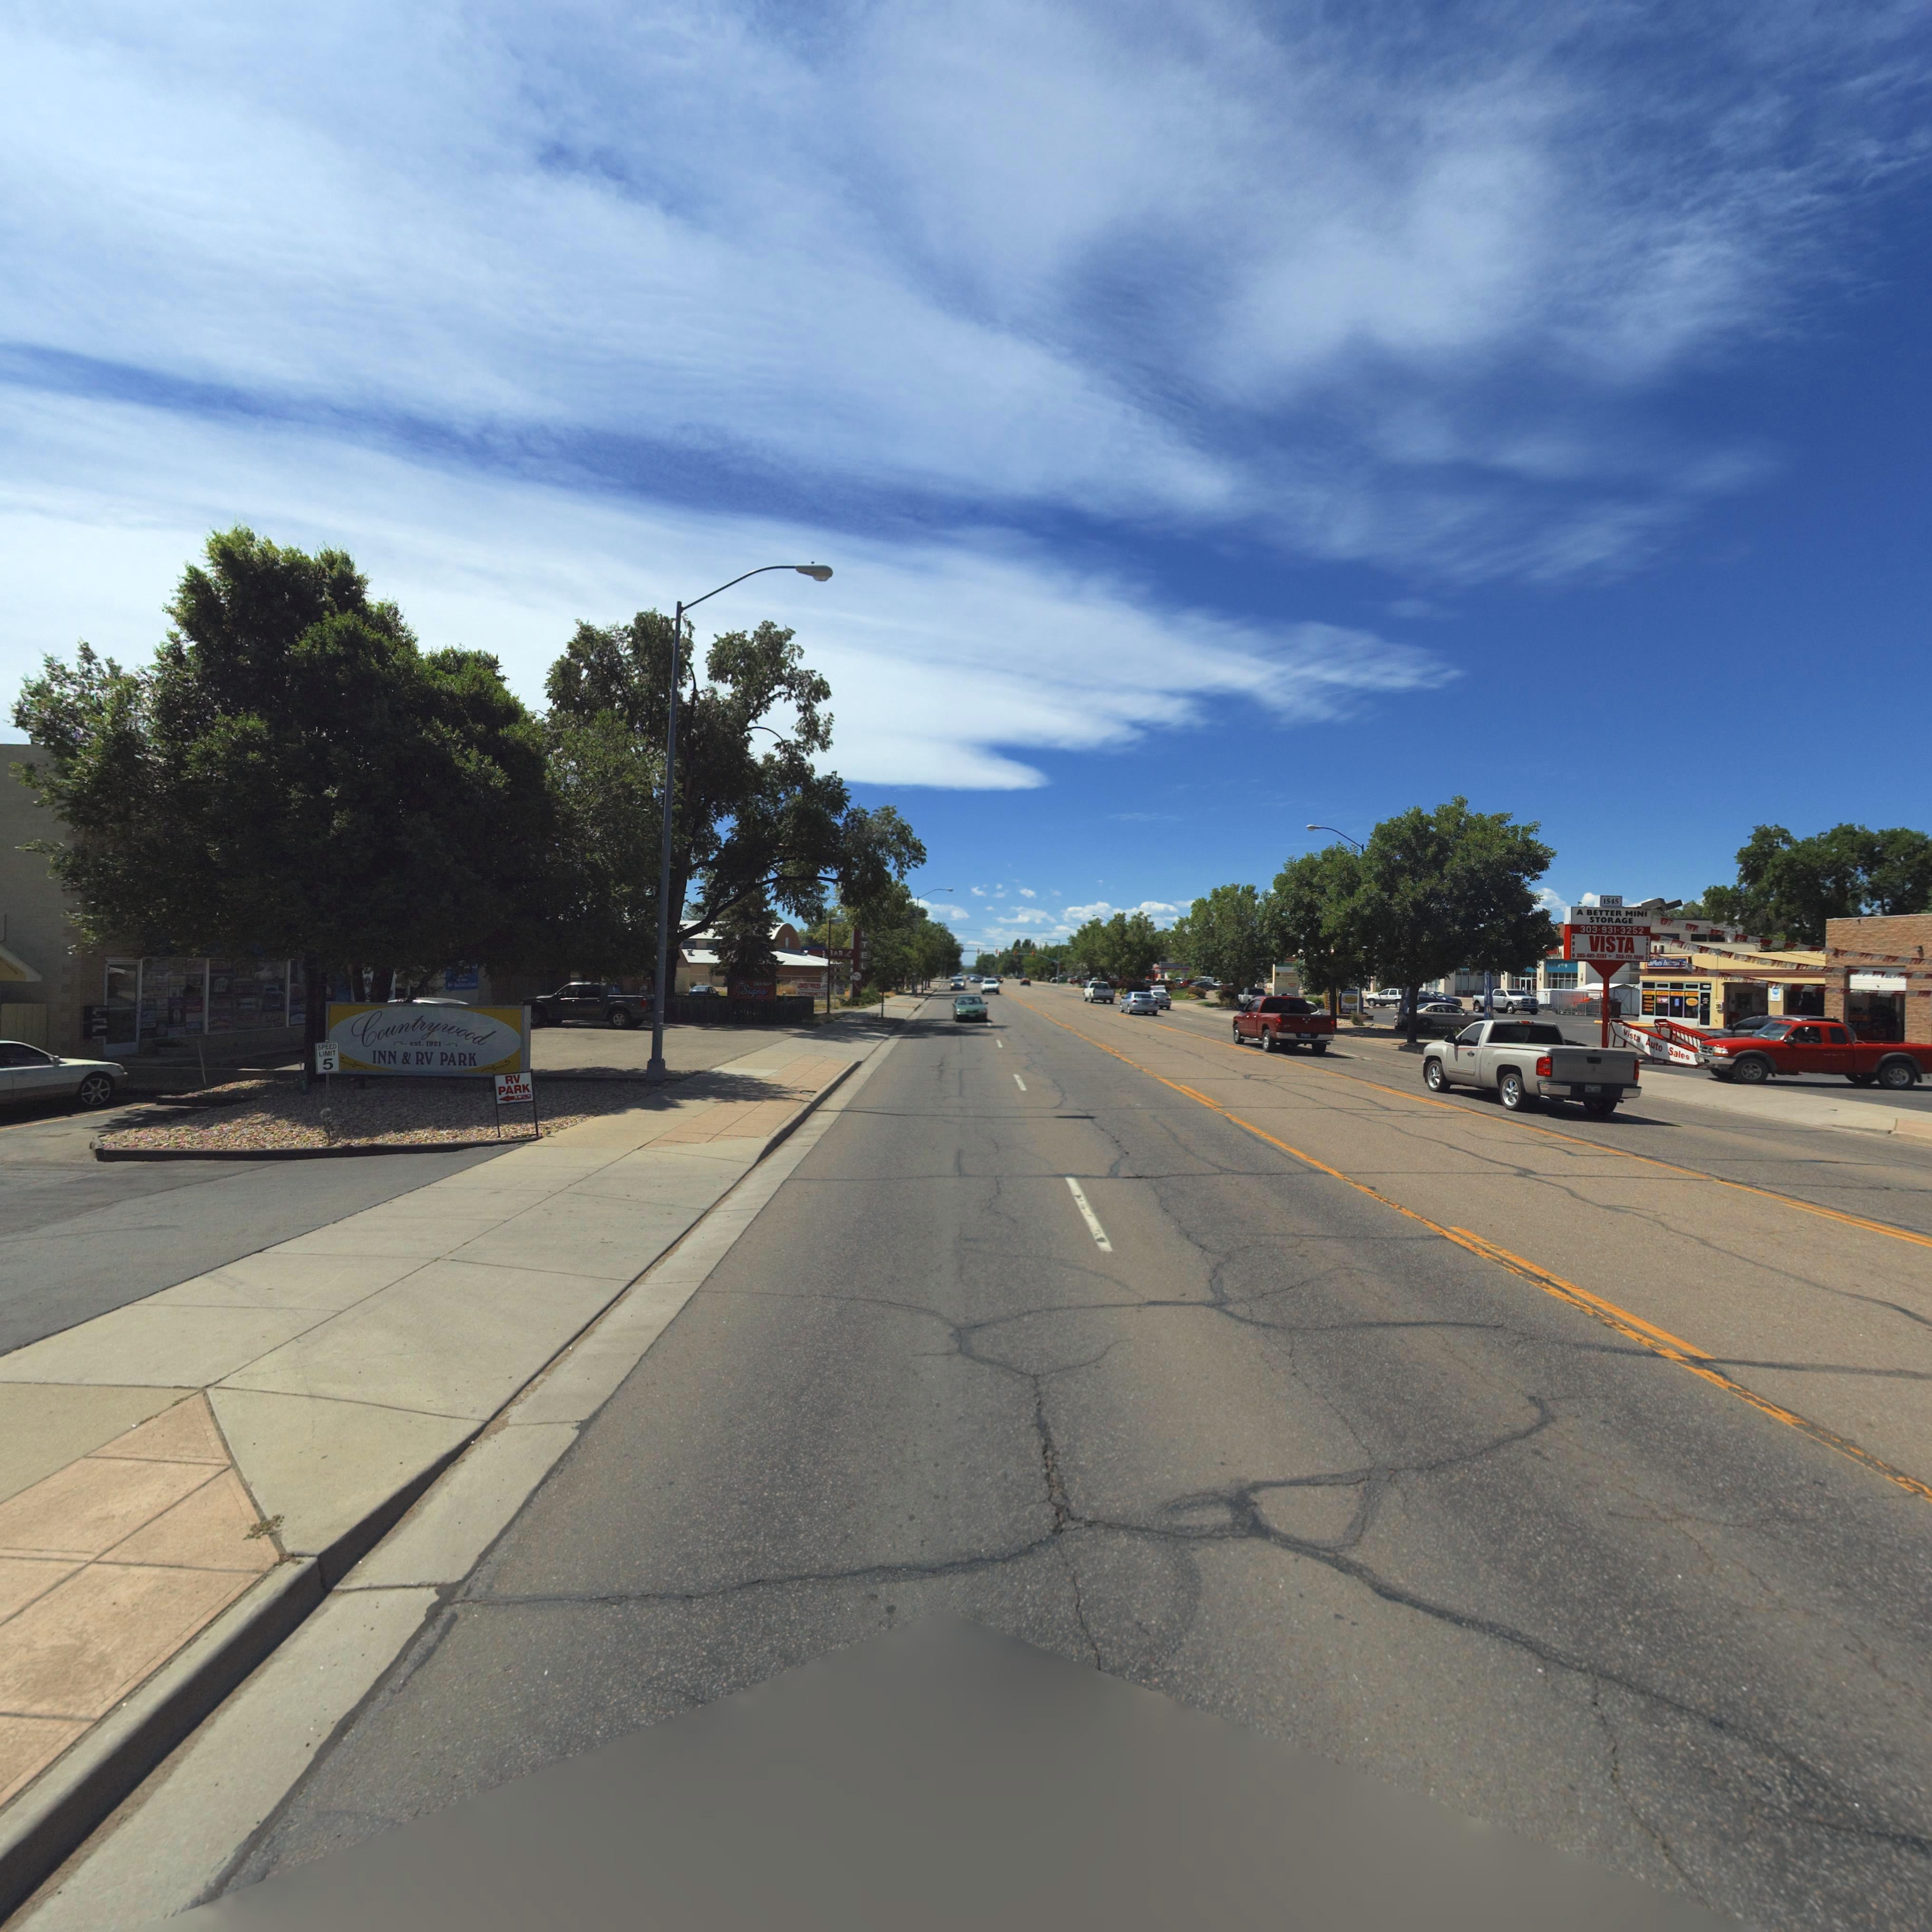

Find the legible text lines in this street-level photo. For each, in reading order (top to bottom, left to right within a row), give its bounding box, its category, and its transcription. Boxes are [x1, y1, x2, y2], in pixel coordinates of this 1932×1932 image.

[1603, 898, 1619, 905] StreetNumber: 1545
[1589, 916, 1633, 924] BusinessName: STORAGE
[1575, 908, 1648, 917] BusinessName: A BETTER MINI
[829, 949, 852, 957] BusinessName: *AR L
[1571, 934, 1575, 958] BusinessName: **TO
[1589, 935, 1635, 953] BusinessName: VISTA
[1644, 937, 1649, 961] BusinessName: ****S
[731, 981, 768, 998] BusinessName: ASigns
[360, 1010, 498, 1048] BusinessName: Countrywood
[1623, 1028, 1690, 1061] BusinessName: Vista Auto Sales
[372, 1050, 477, 1066] BusinessName: INN & RV PARK